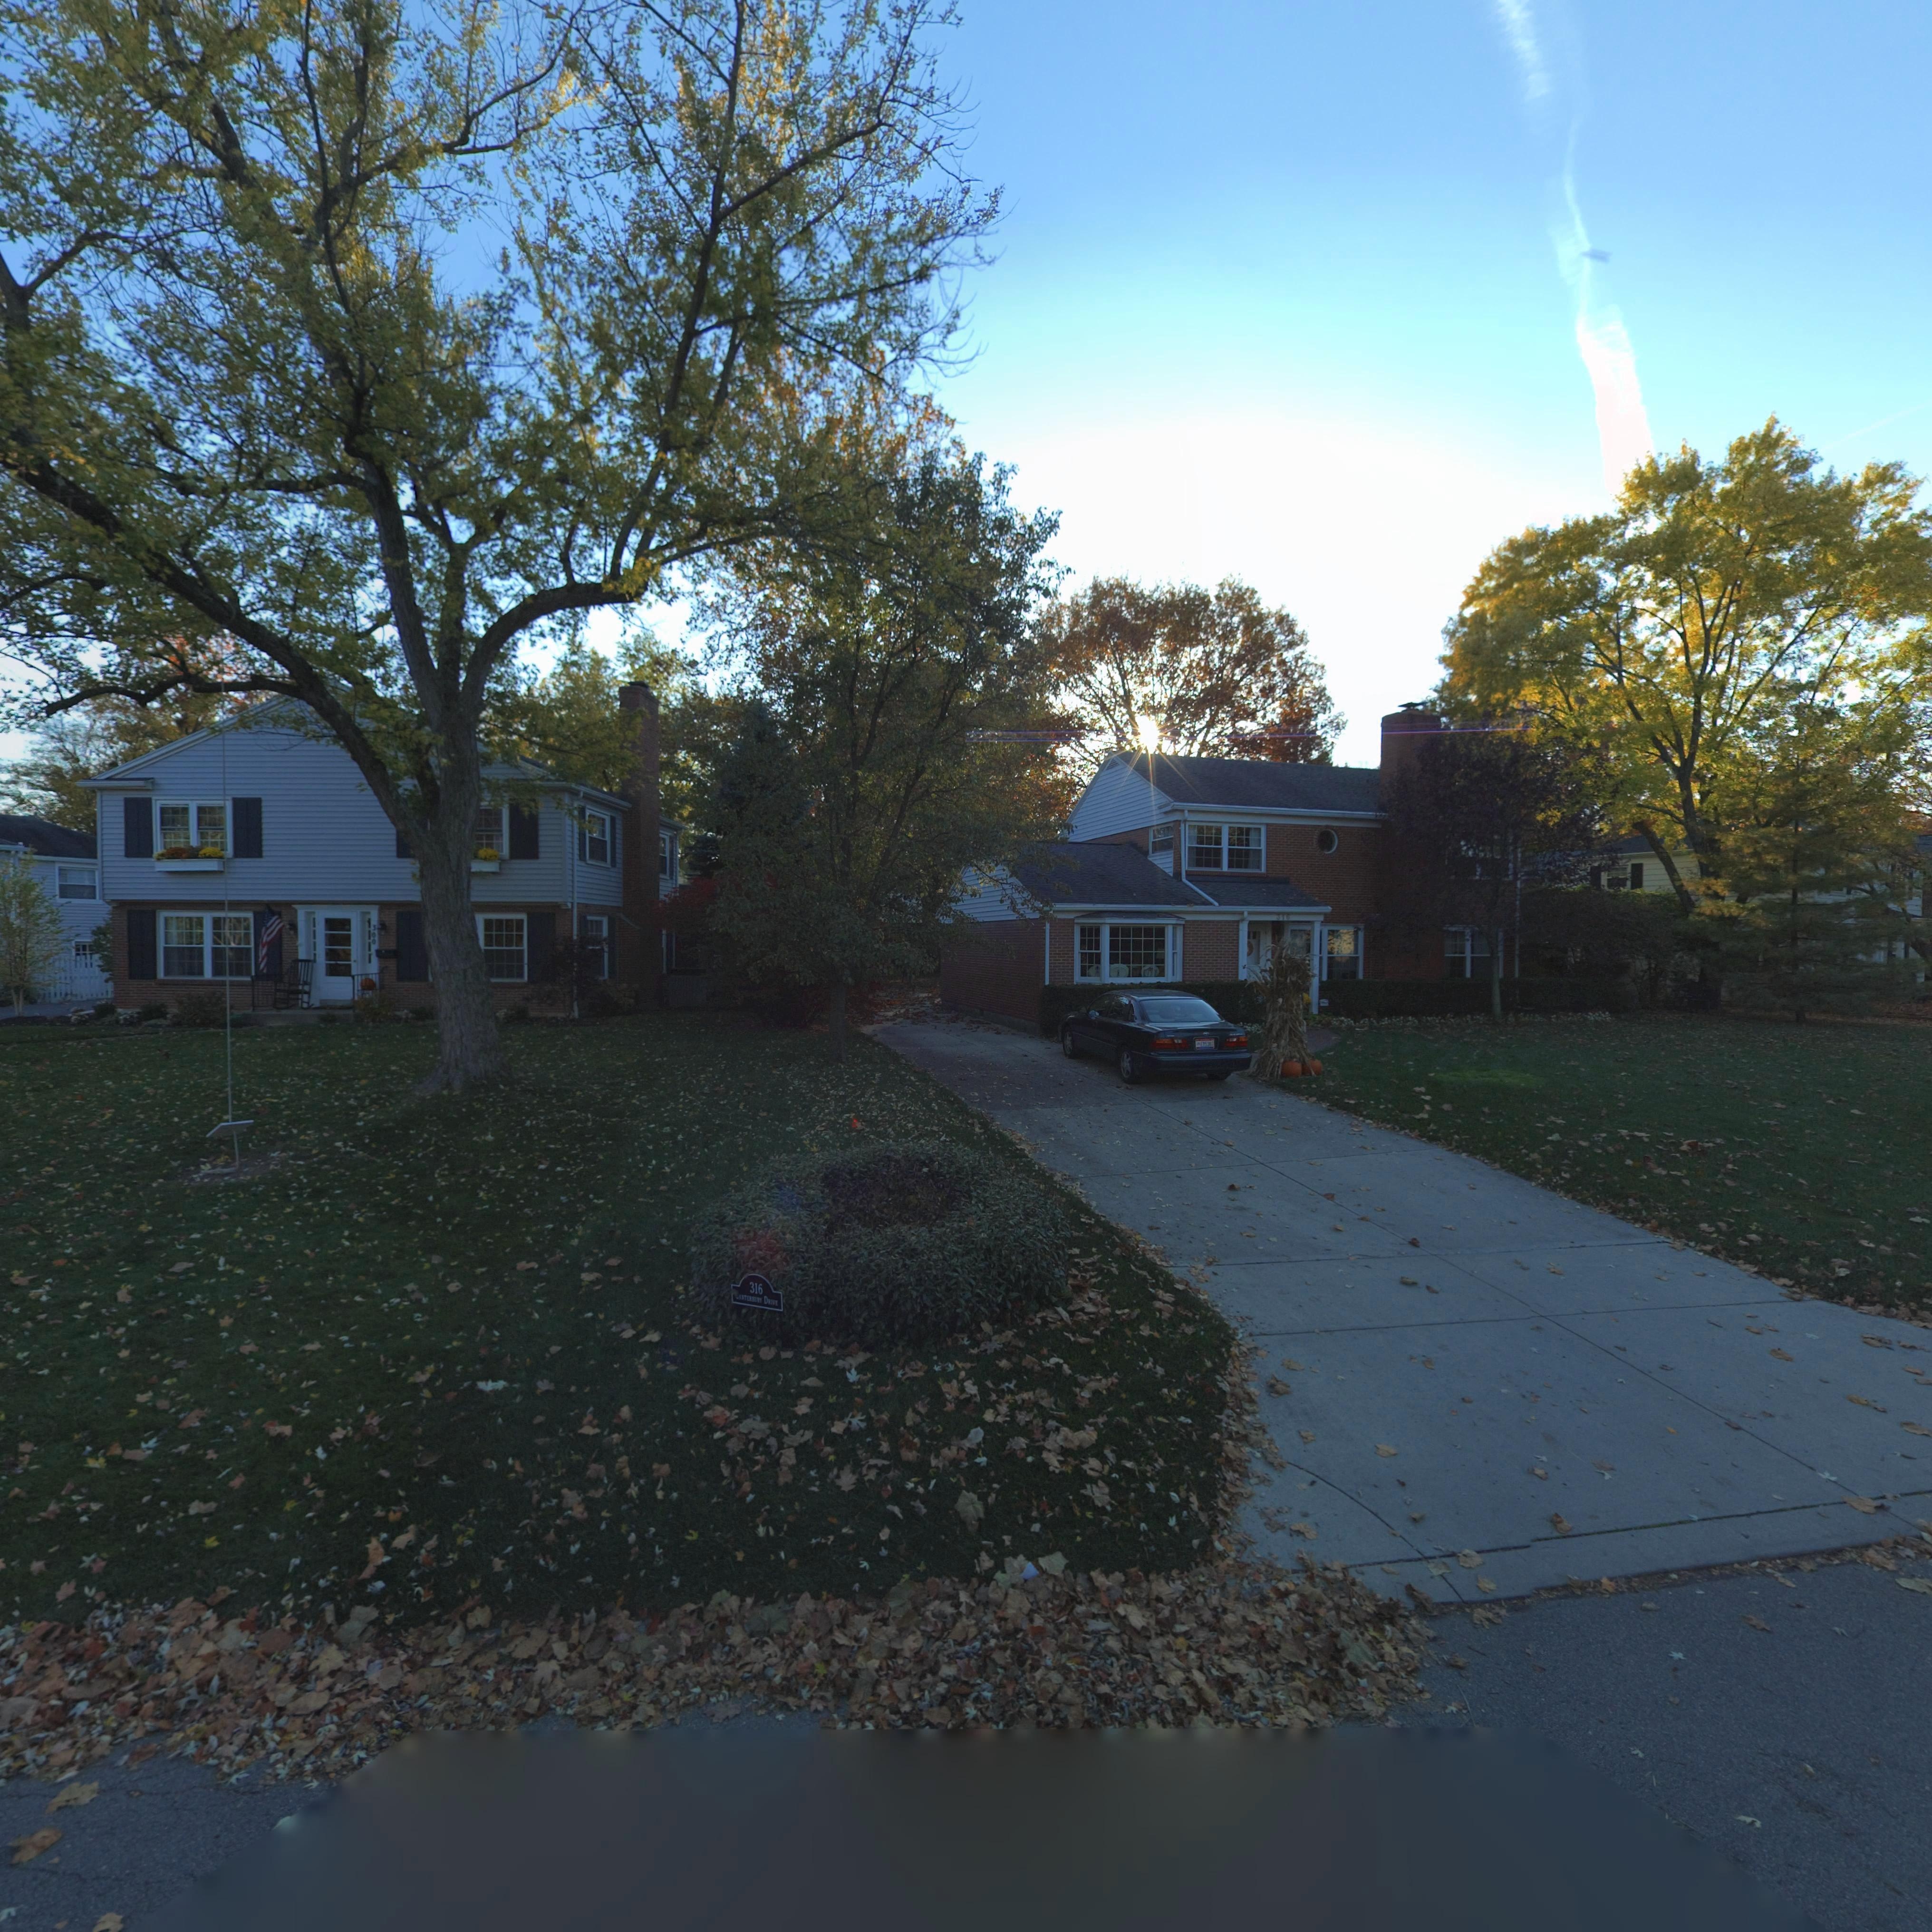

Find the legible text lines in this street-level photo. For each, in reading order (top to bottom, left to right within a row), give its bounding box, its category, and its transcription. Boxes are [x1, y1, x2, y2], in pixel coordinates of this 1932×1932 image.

[1275, 913, 1291, 921] StreetNumber: 316
[371, 923, 377, 946] StreetNumber: *00
[748, 1281, 764, 1296] StreetNumber: 316
[738, 1294, 779, 1307] StreetName: ANTERBURY DRIVE